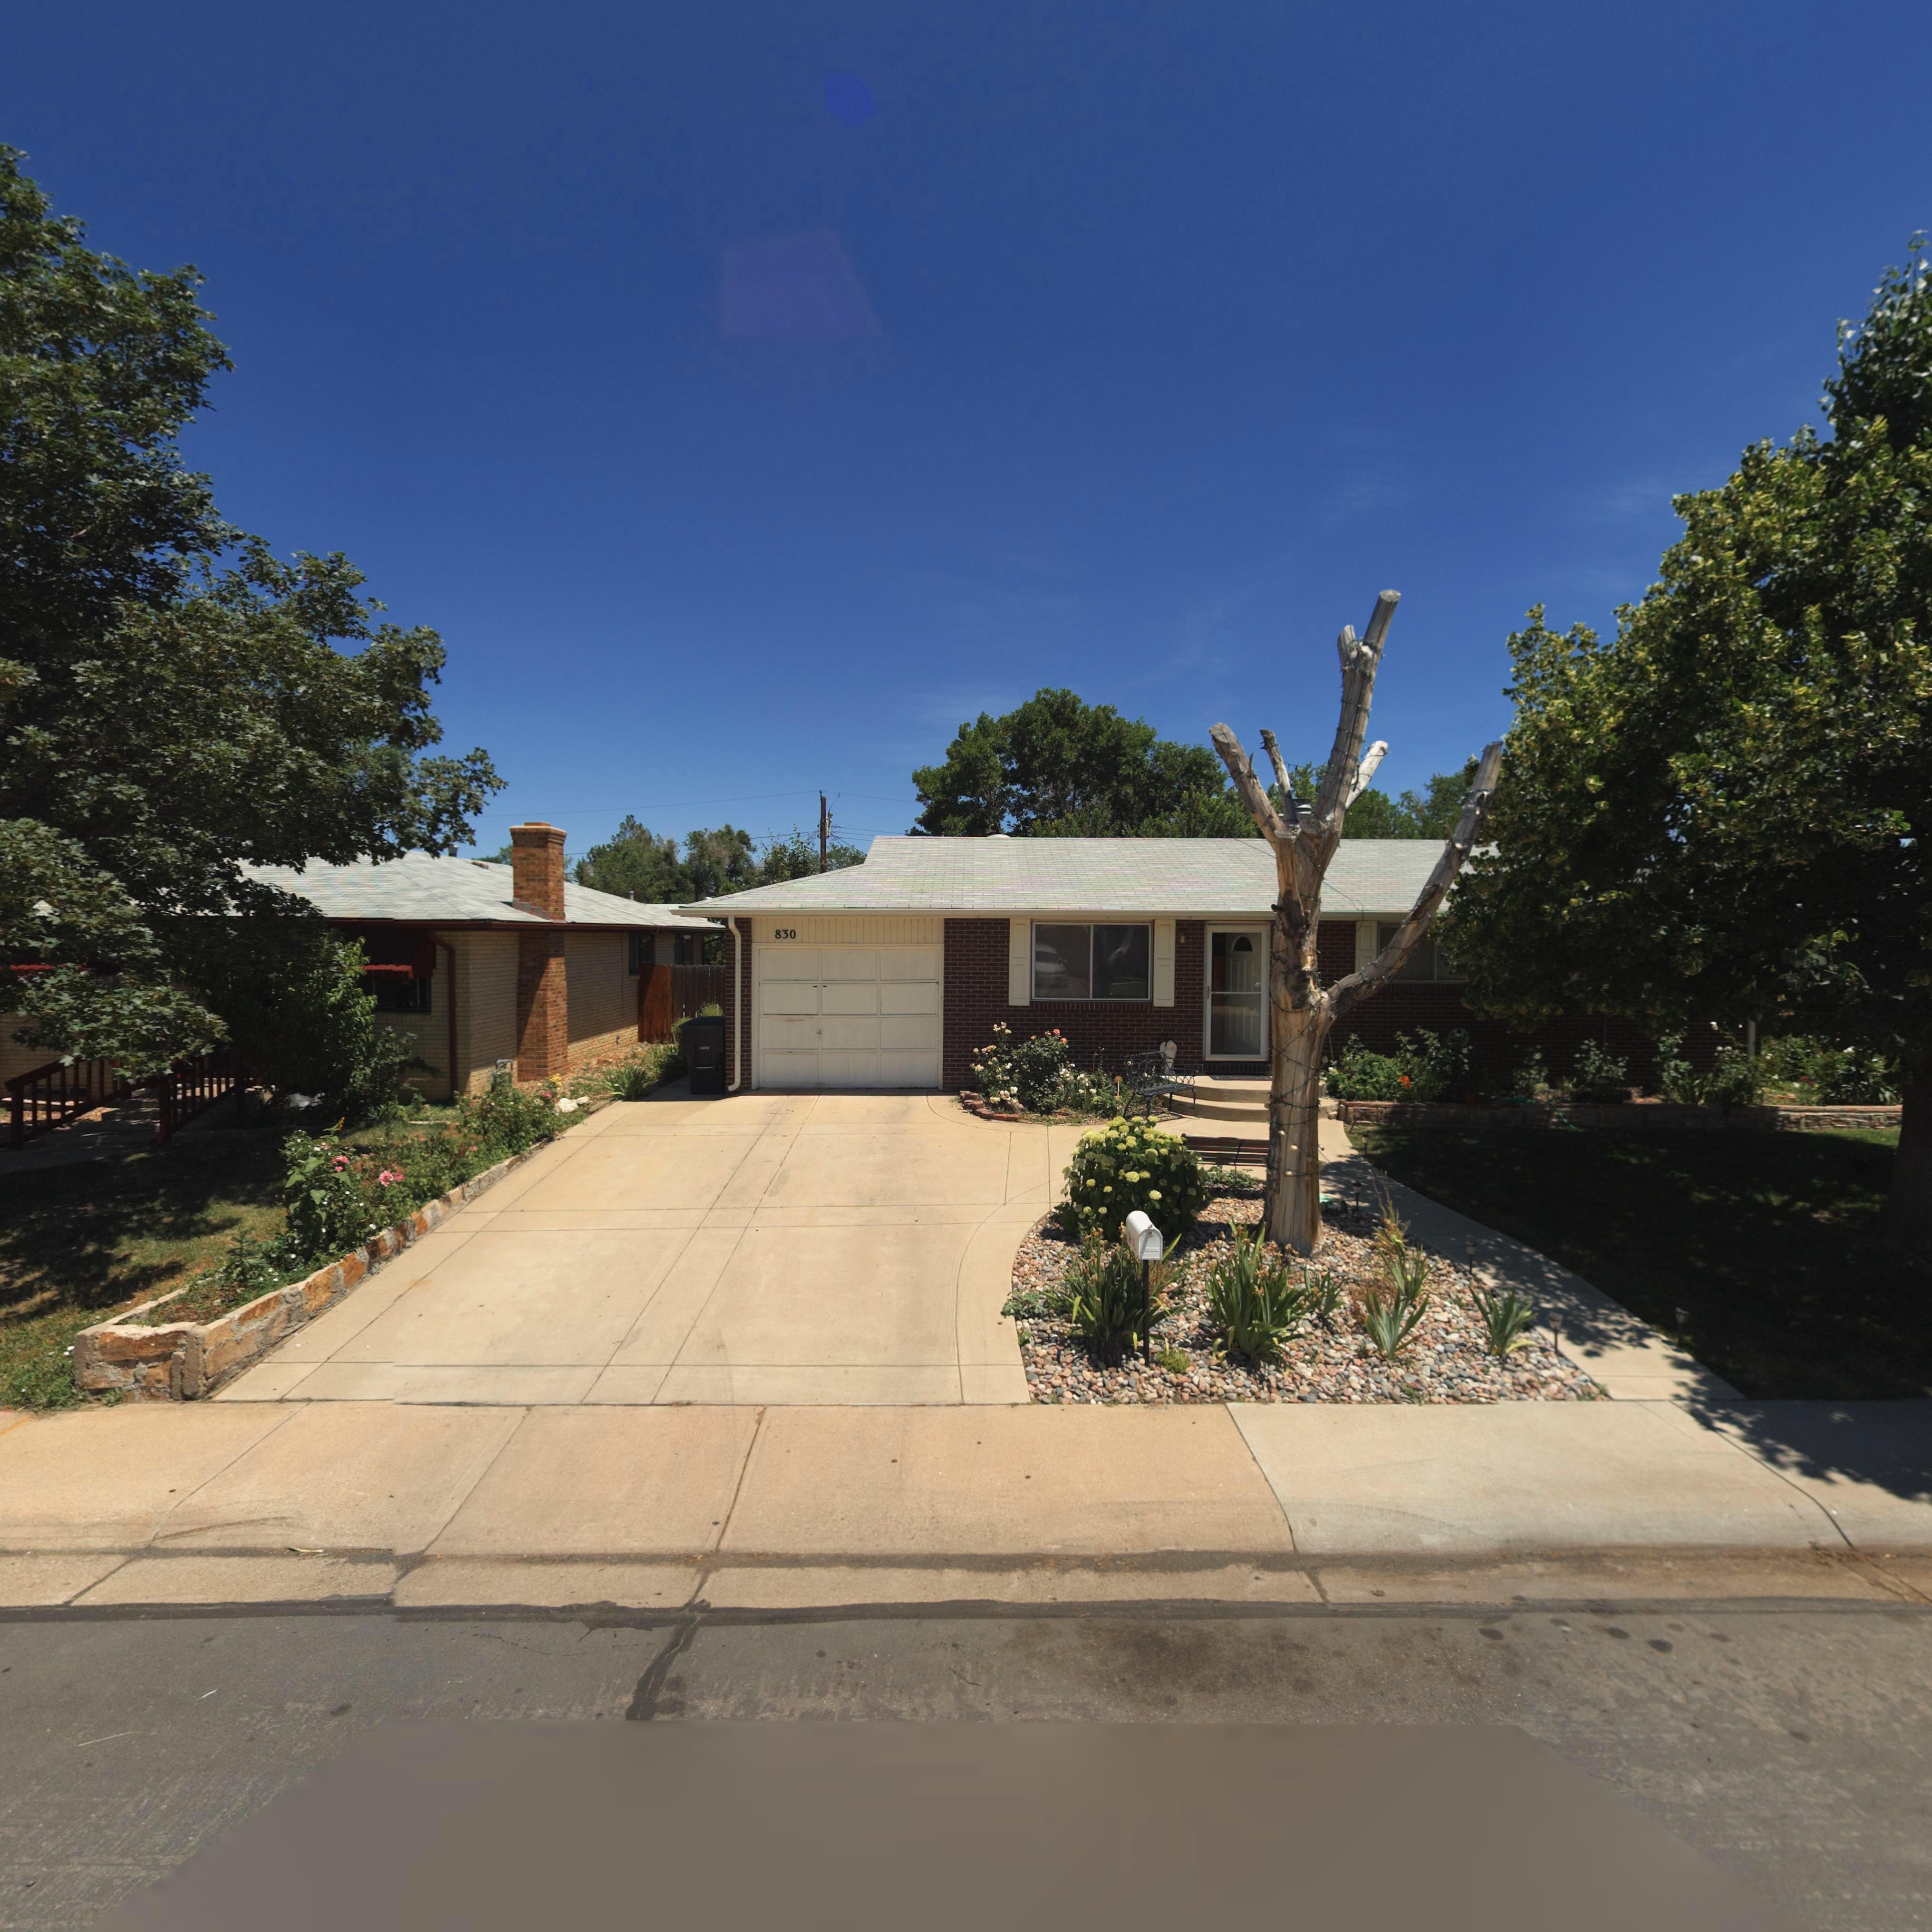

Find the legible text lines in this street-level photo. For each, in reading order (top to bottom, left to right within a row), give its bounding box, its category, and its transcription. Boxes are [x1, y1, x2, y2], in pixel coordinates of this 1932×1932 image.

[775, 929, 796, 939] StreetNumber: 830